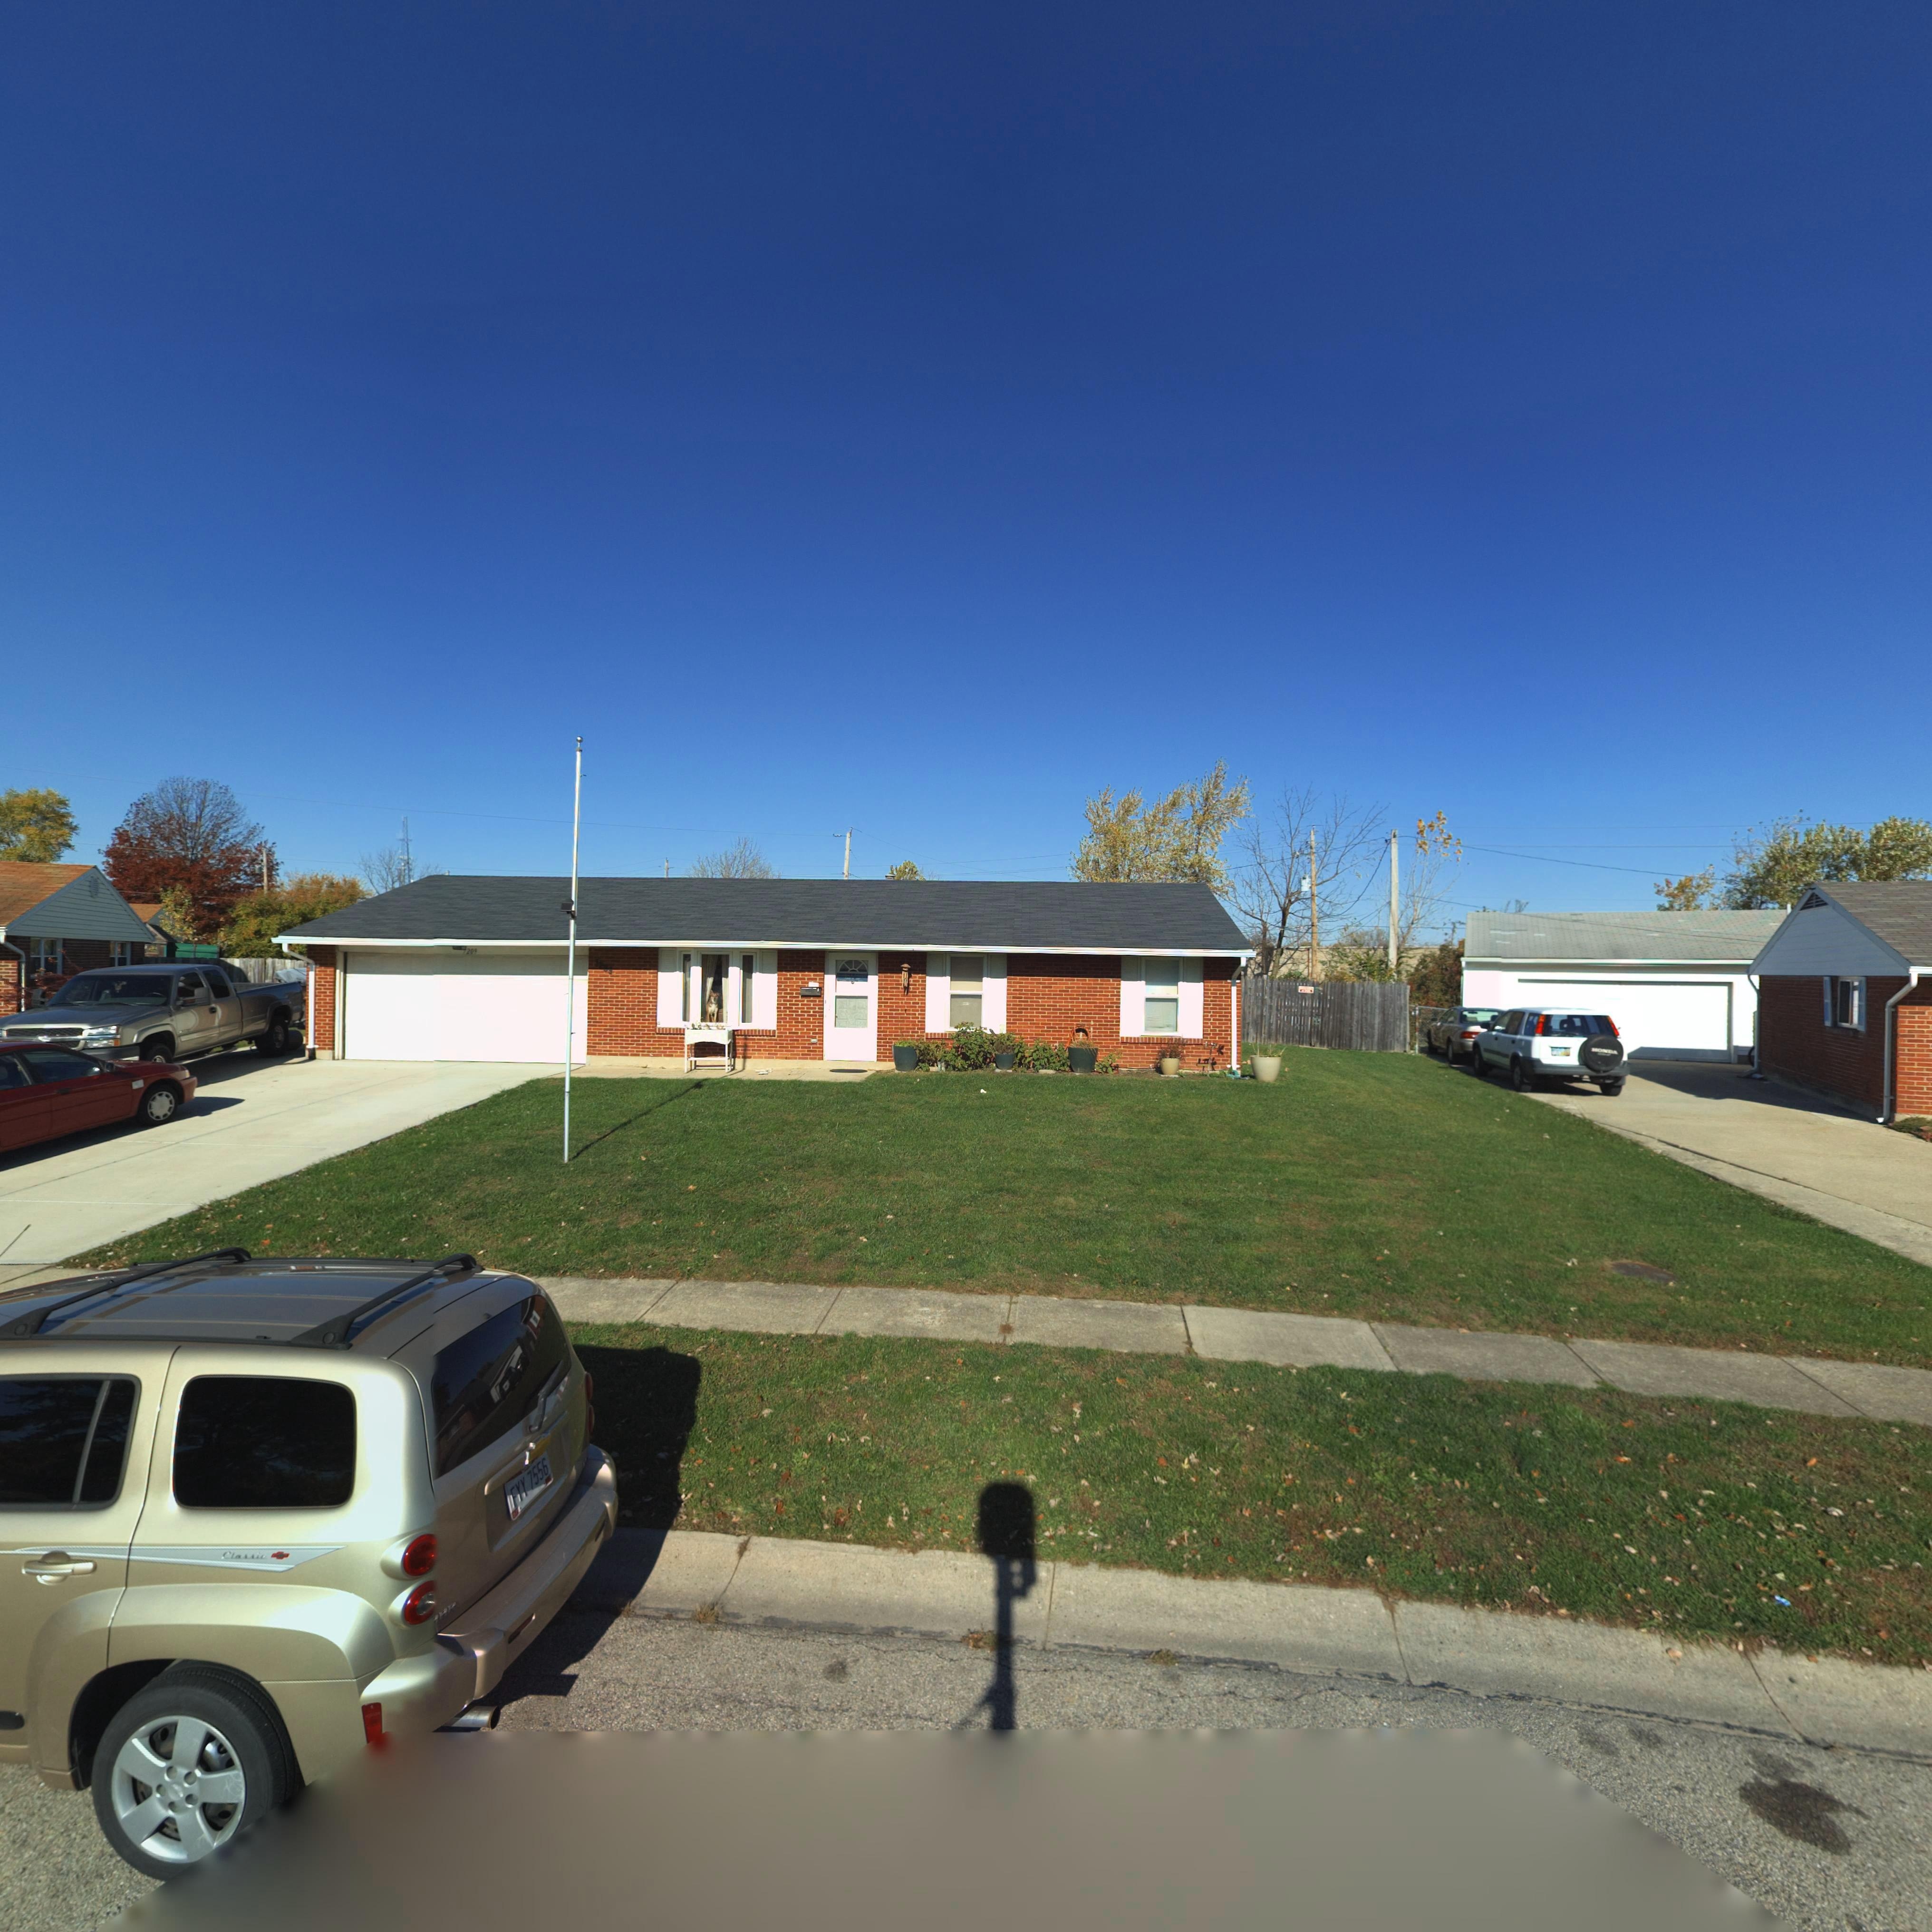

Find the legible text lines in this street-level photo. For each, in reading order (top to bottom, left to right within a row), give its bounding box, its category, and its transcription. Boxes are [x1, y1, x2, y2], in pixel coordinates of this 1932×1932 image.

[465, 947, 479, 956] StreetNumber: 209